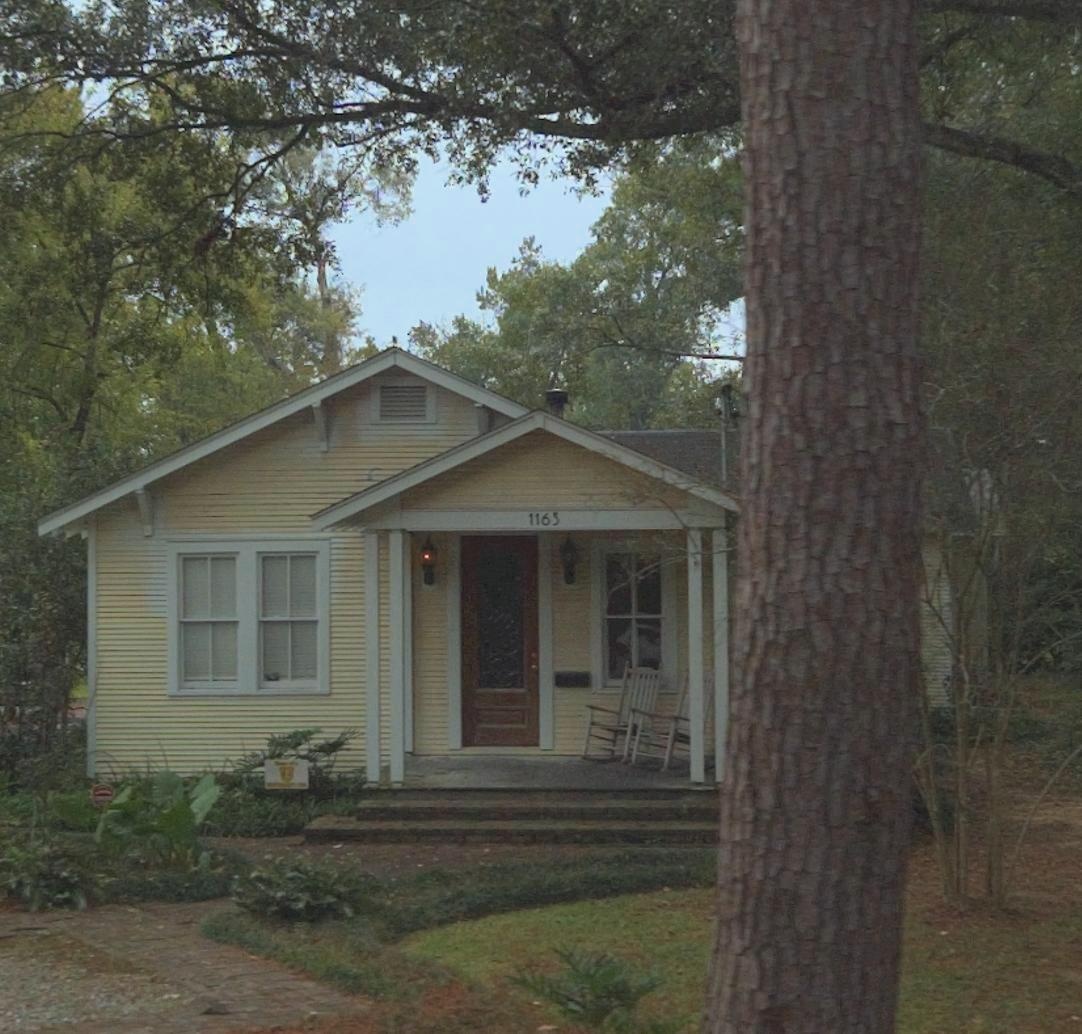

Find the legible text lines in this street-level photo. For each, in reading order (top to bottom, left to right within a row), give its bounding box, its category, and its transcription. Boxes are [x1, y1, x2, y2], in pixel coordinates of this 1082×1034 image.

[527, 511, 561, 527] StreetNumber: 1163